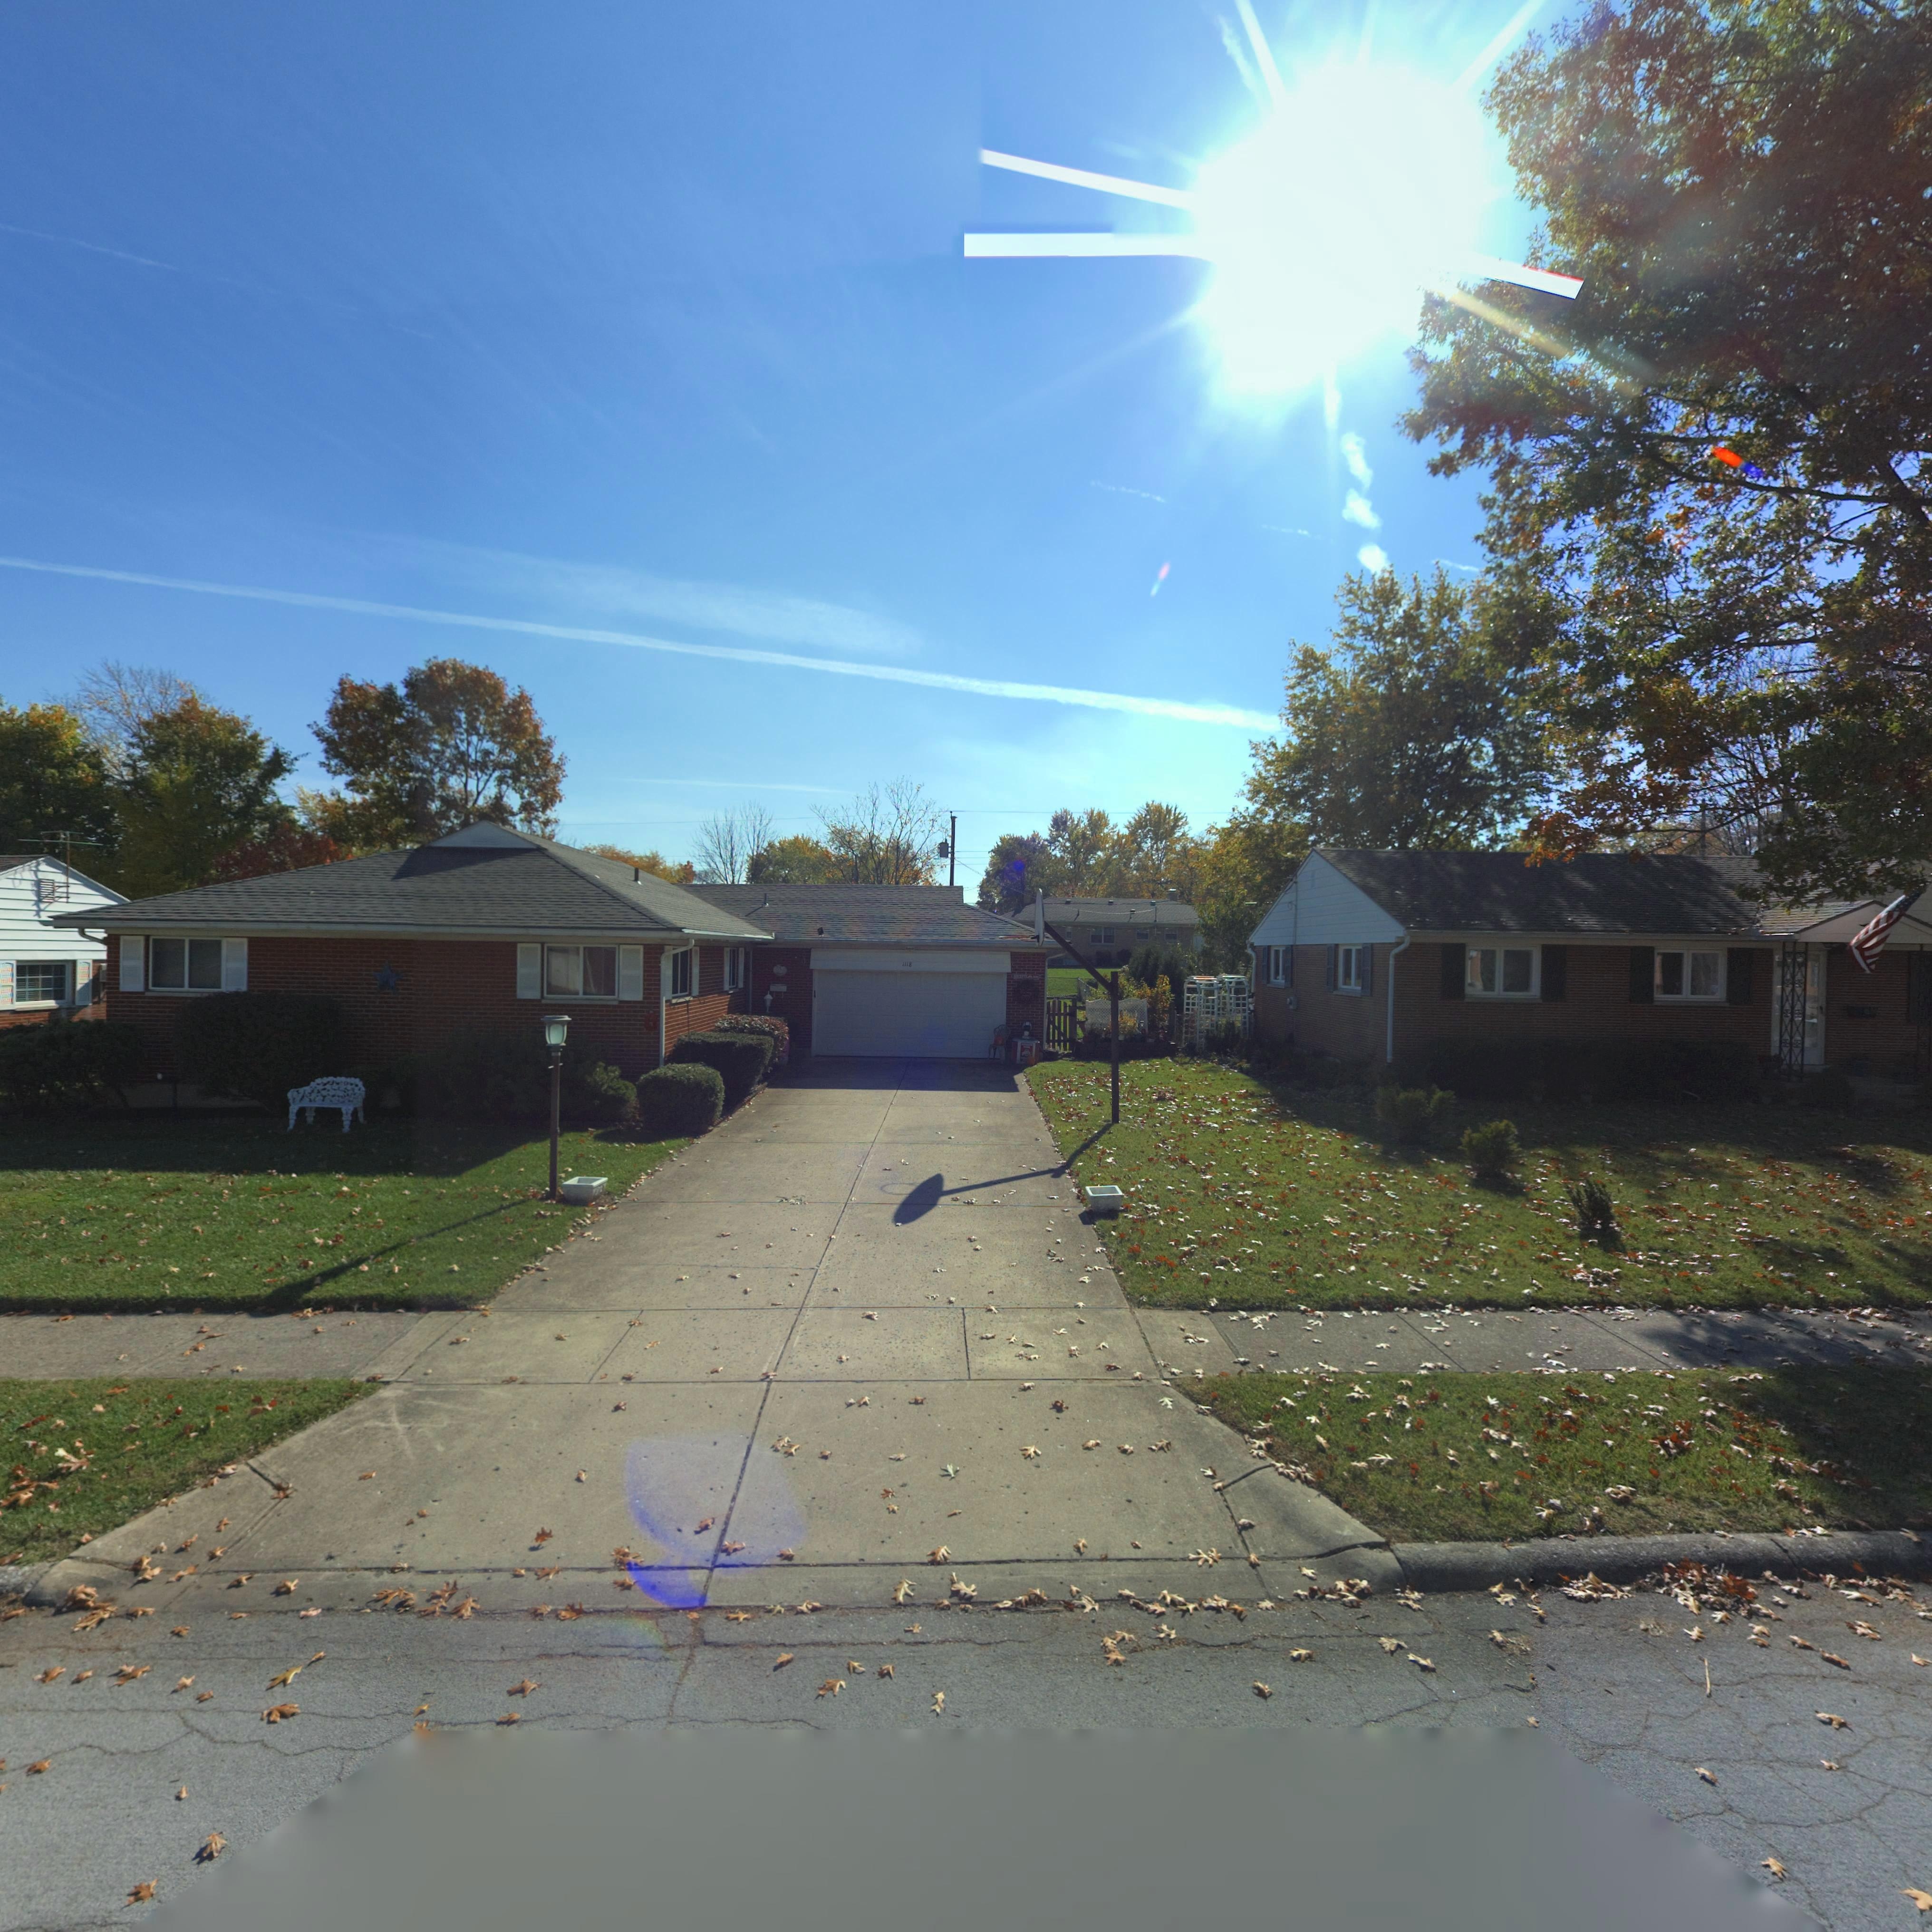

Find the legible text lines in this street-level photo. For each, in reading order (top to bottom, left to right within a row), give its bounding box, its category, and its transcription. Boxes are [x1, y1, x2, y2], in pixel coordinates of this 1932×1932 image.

[901, 961, 913, 967] StreetNumber: 1118